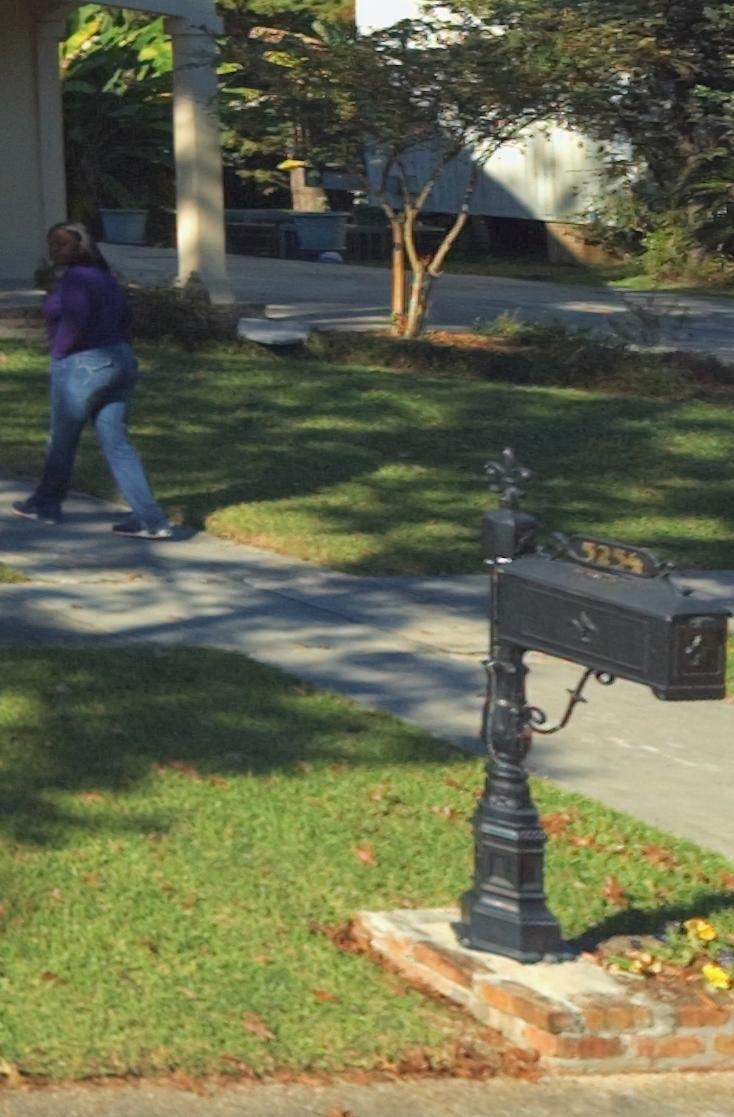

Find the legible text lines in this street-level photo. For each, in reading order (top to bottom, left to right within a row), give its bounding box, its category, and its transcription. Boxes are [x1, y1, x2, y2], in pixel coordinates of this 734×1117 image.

[576, 539, 648, 579] StreetNumber: 5254